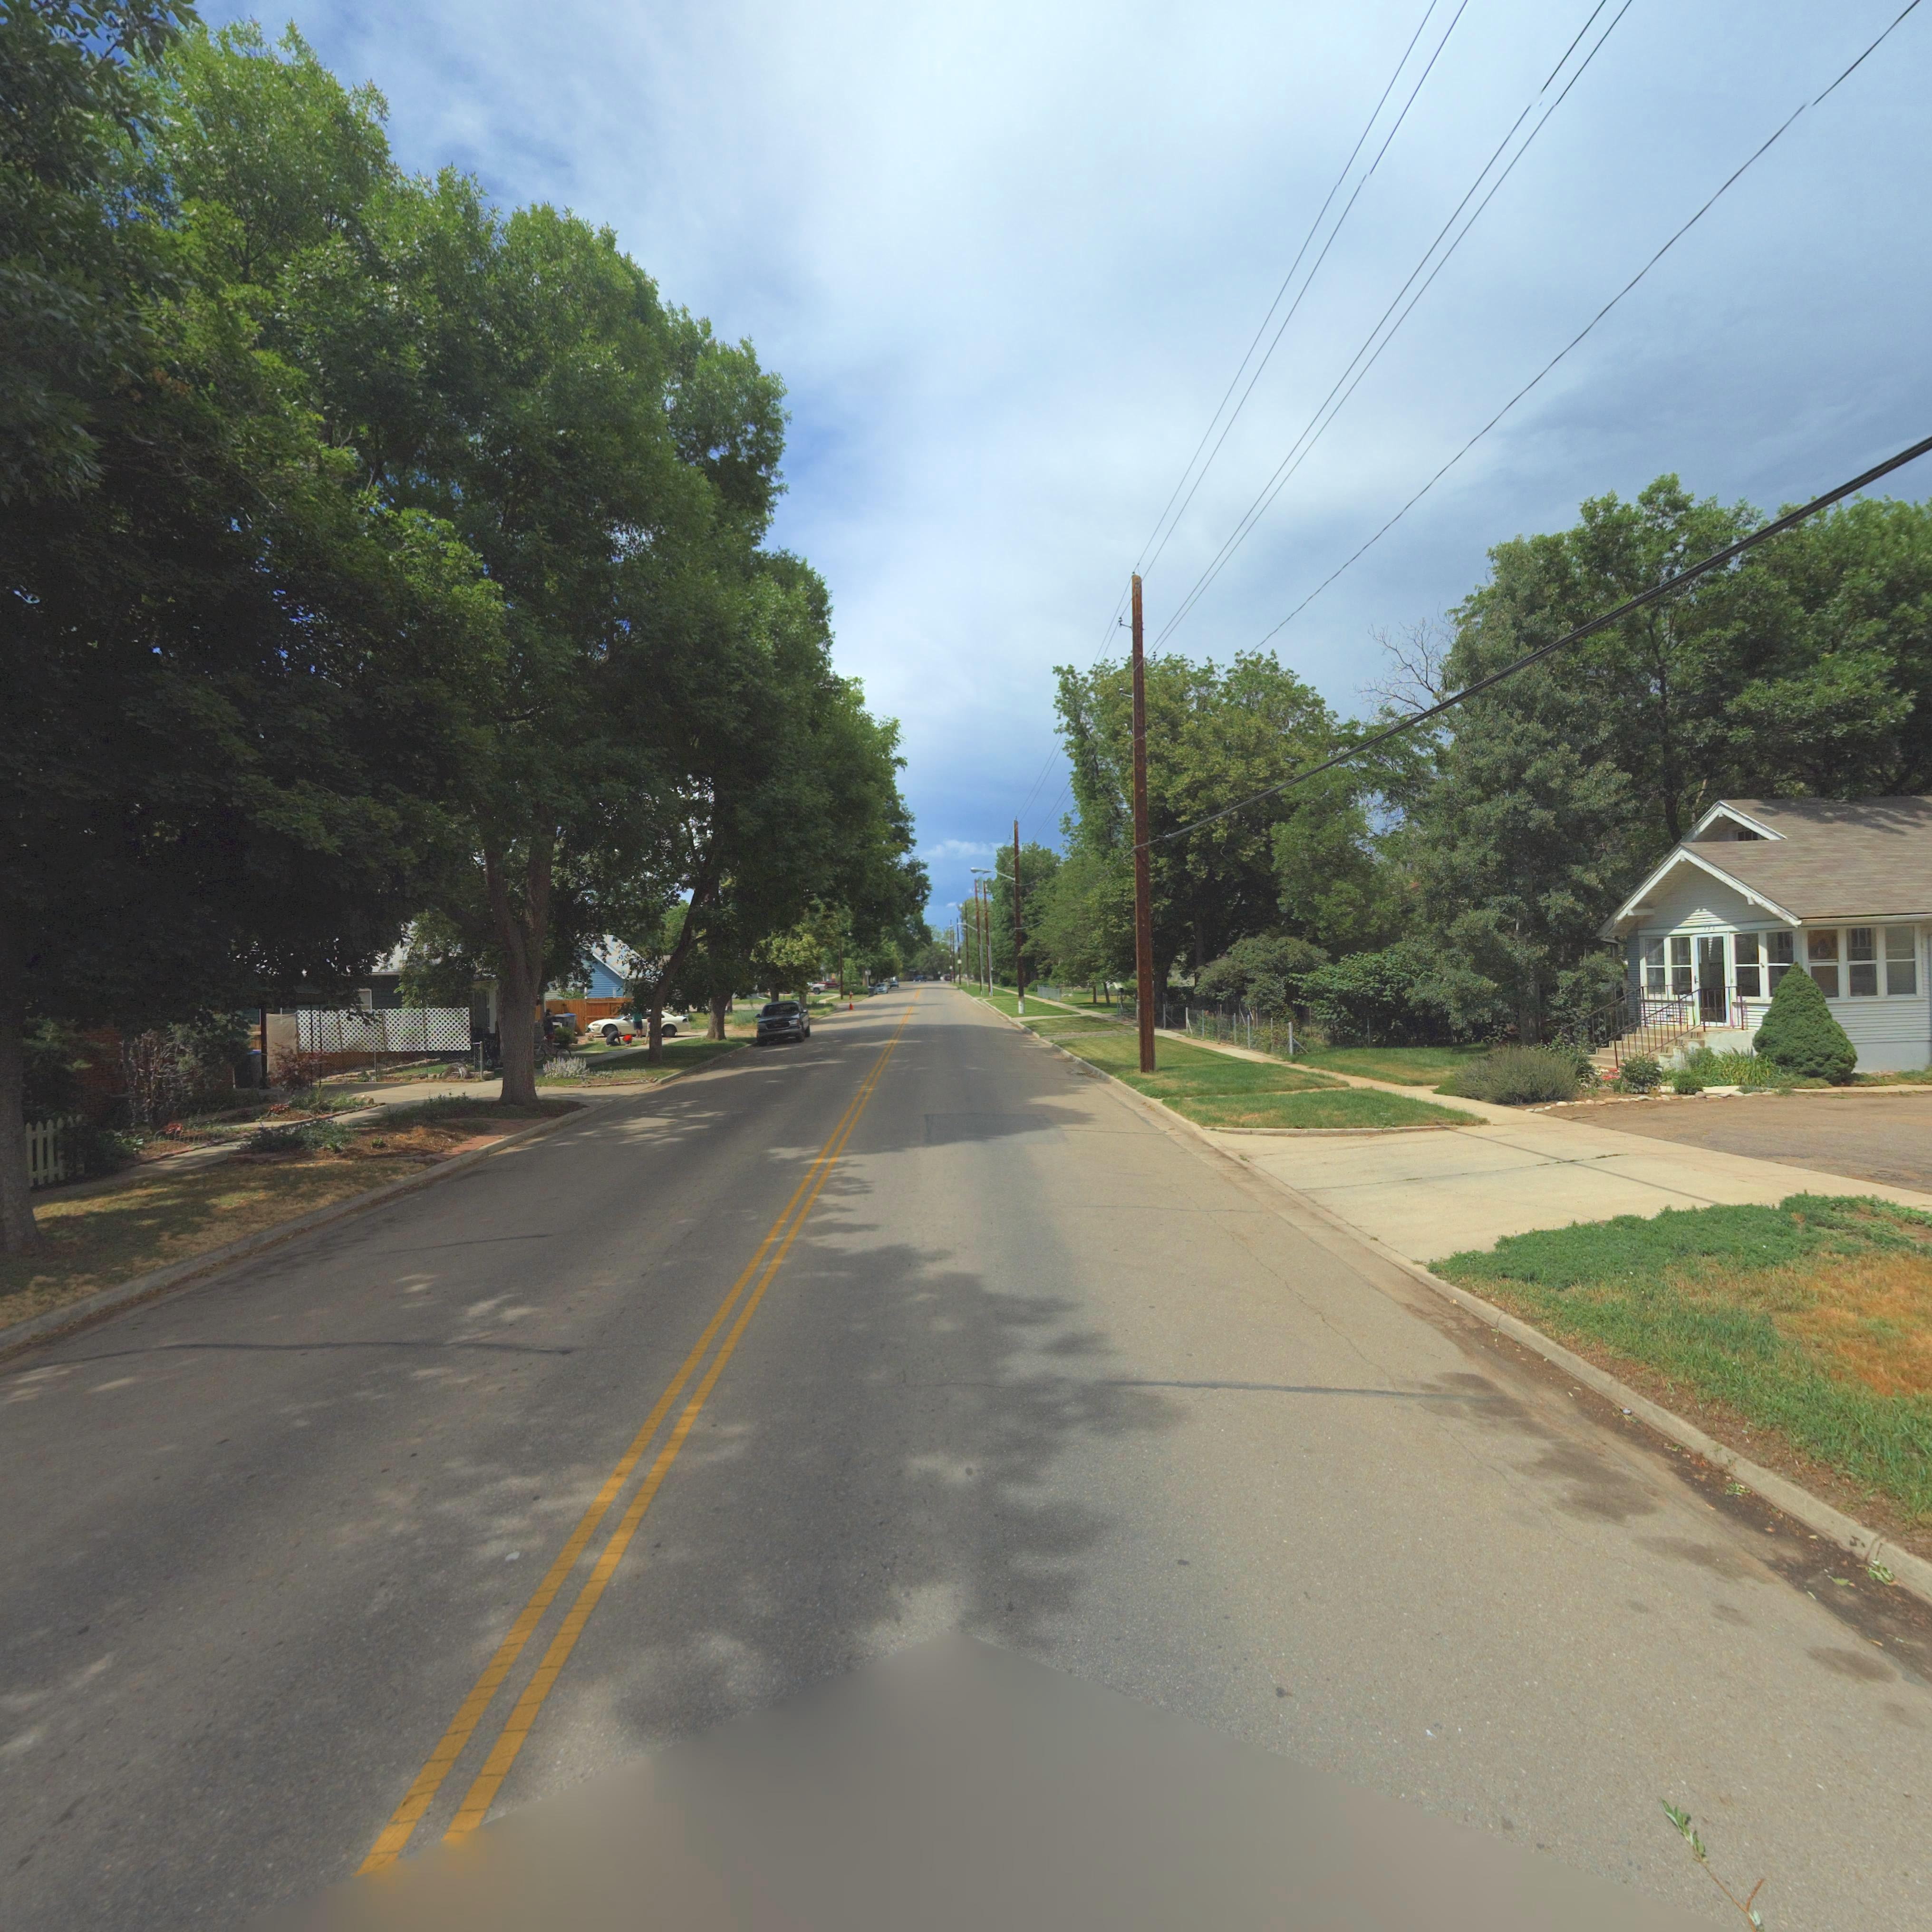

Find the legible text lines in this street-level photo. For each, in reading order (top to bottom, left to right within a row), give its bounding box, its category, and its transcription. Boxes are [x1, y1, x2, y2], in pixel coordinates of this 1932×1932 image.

[1702, 926, 1715, 931] StreetNumber: 736